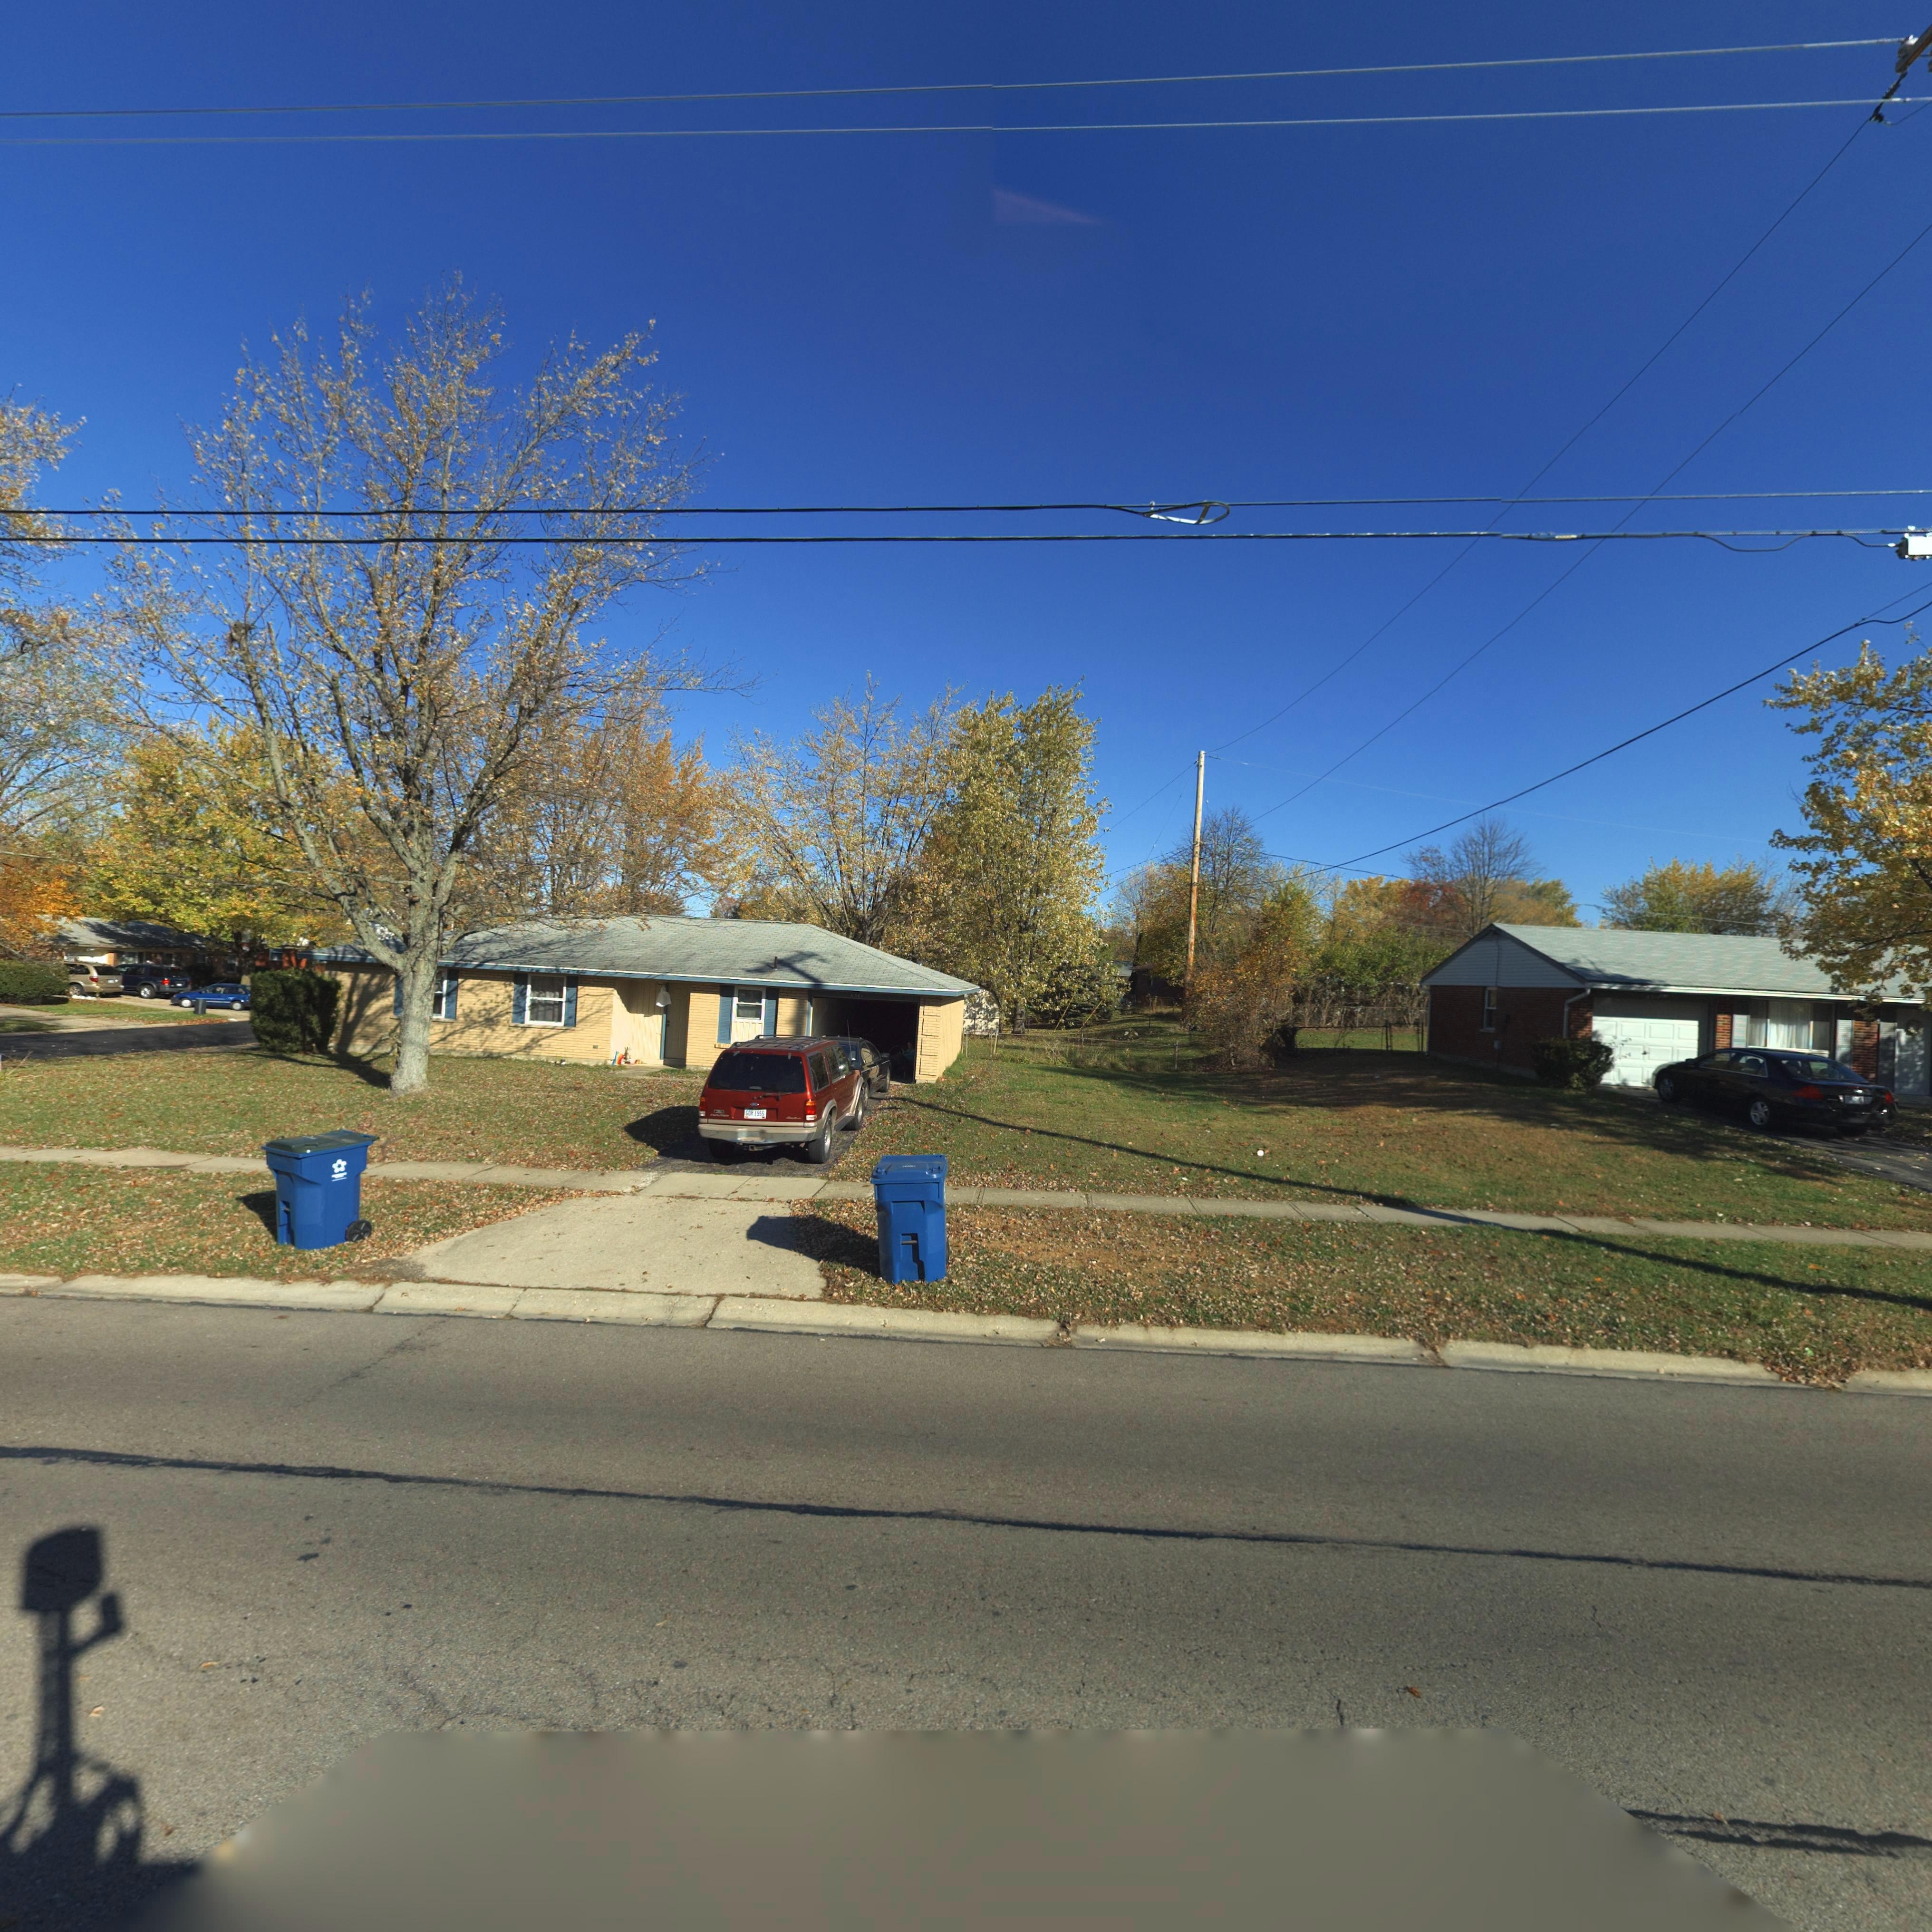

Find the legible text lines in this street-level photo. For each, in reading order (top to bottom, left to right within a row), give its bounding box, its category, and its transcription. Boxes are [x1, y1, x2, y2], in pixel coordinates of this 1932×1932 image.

[849, 992, 864, 999] StreetNumber: **0*